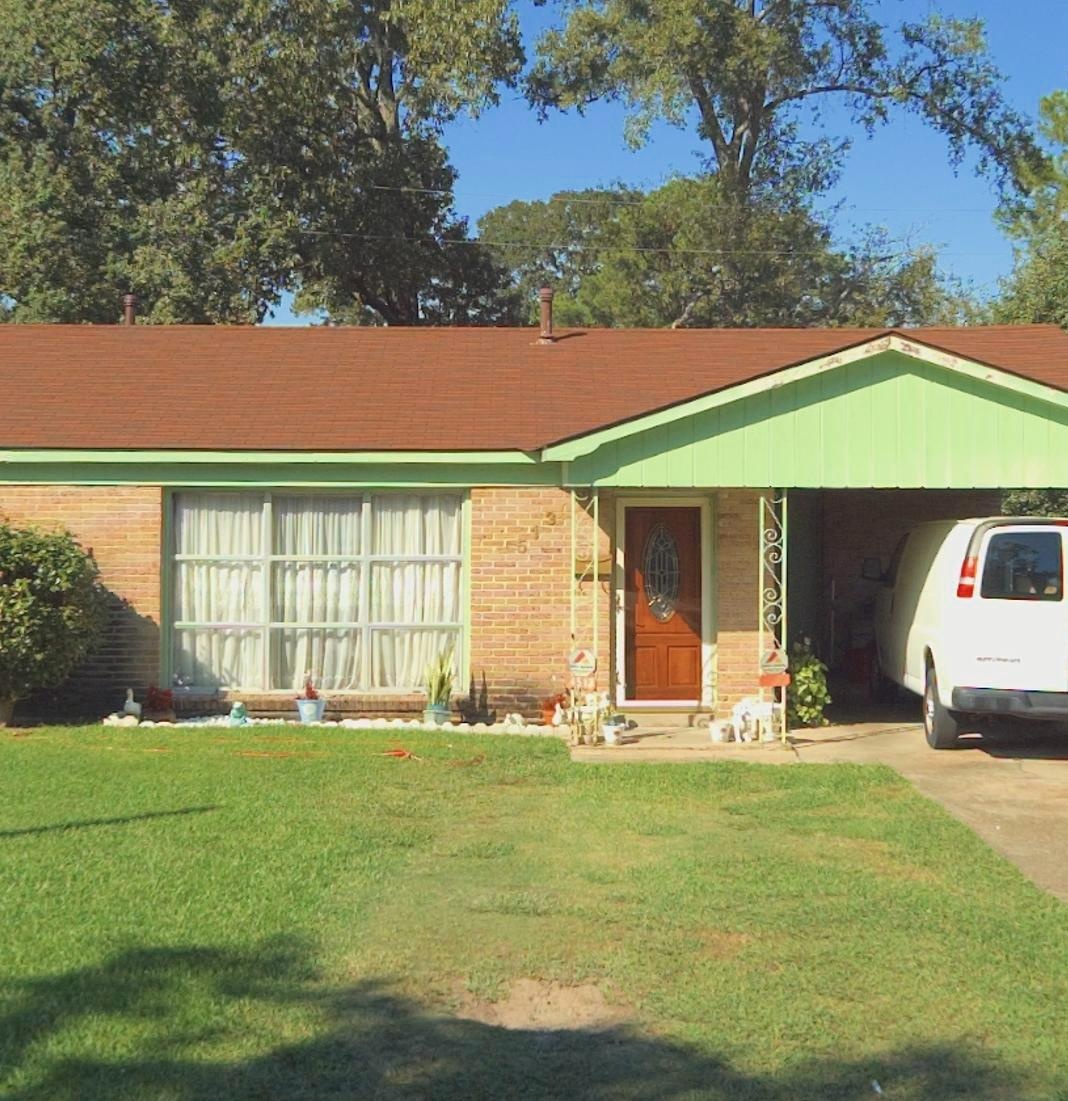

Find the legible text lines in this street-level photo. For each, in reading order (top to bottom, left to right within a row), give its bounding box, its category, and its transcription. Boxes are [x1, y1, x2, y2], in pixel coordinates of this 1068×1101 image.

[516, 510, 557, 554] StreetNumber: 513
[568, 676, 594, 689] StreetNumber: 4513